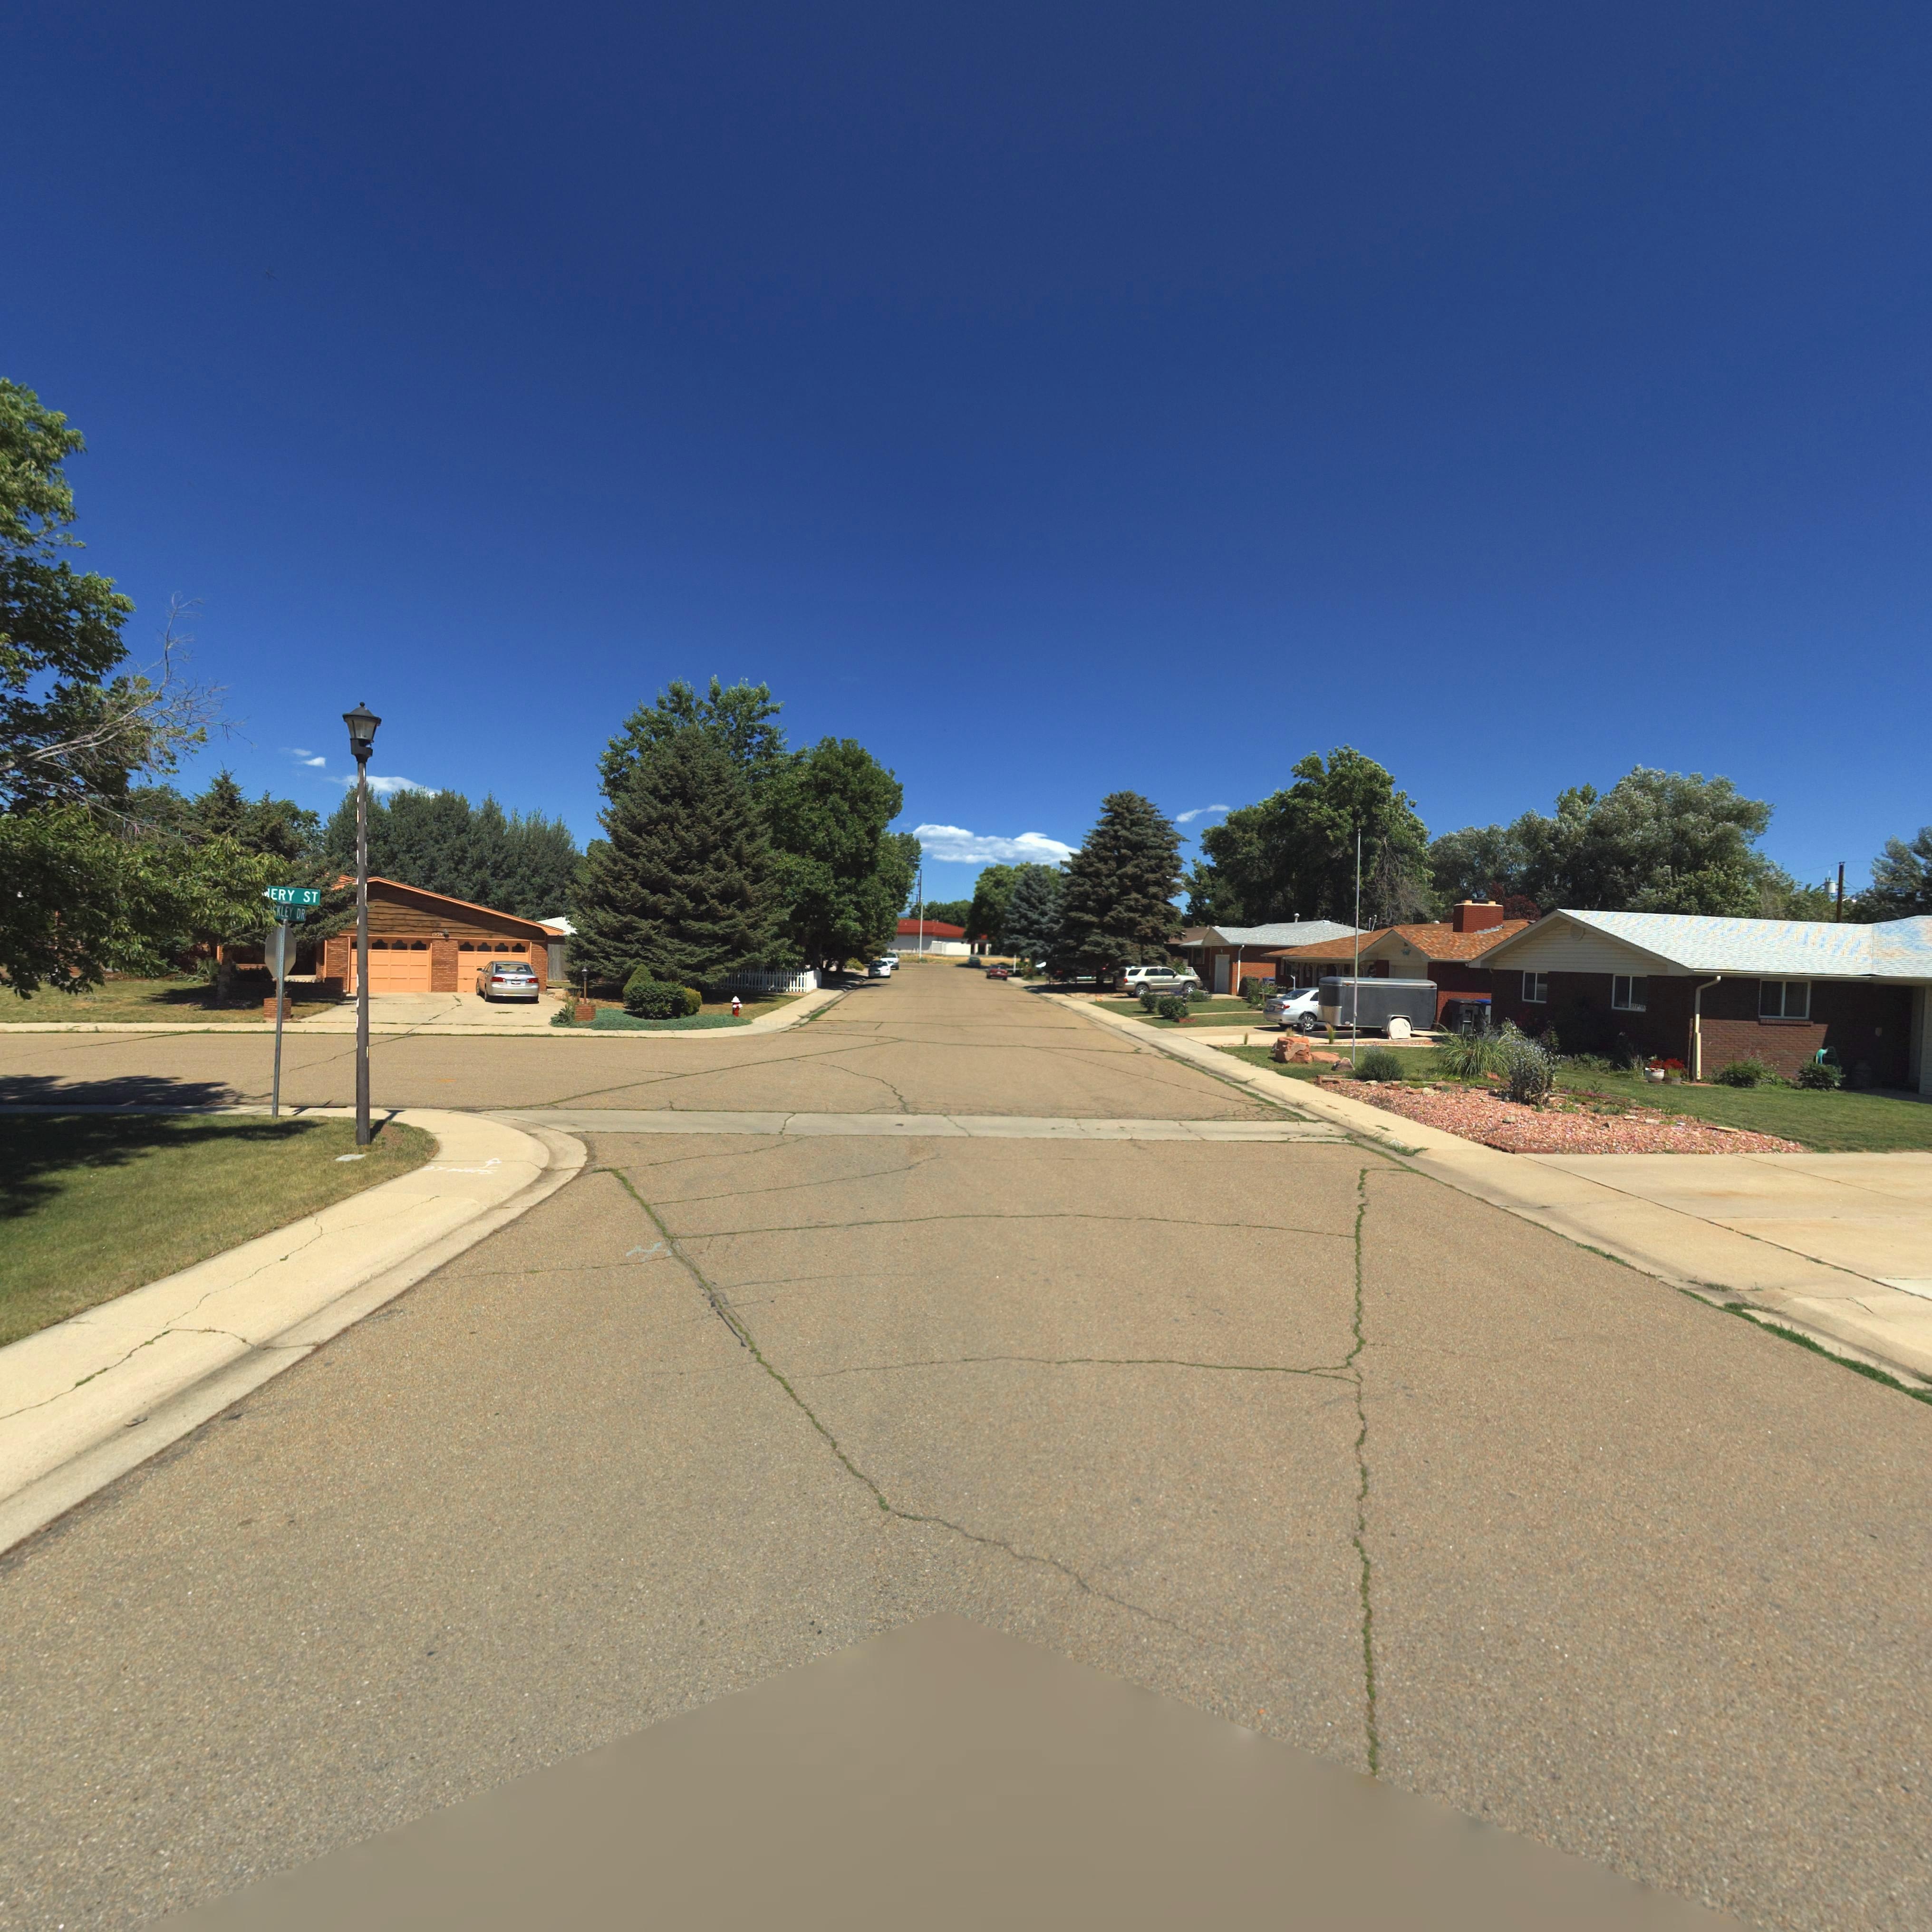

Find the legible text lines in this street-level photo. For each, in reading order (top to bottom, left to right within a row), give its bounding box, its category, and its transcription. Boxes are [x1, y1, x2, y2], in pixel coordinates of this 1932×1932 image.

[432, 931, 443, 937] StreetNumber: 1939